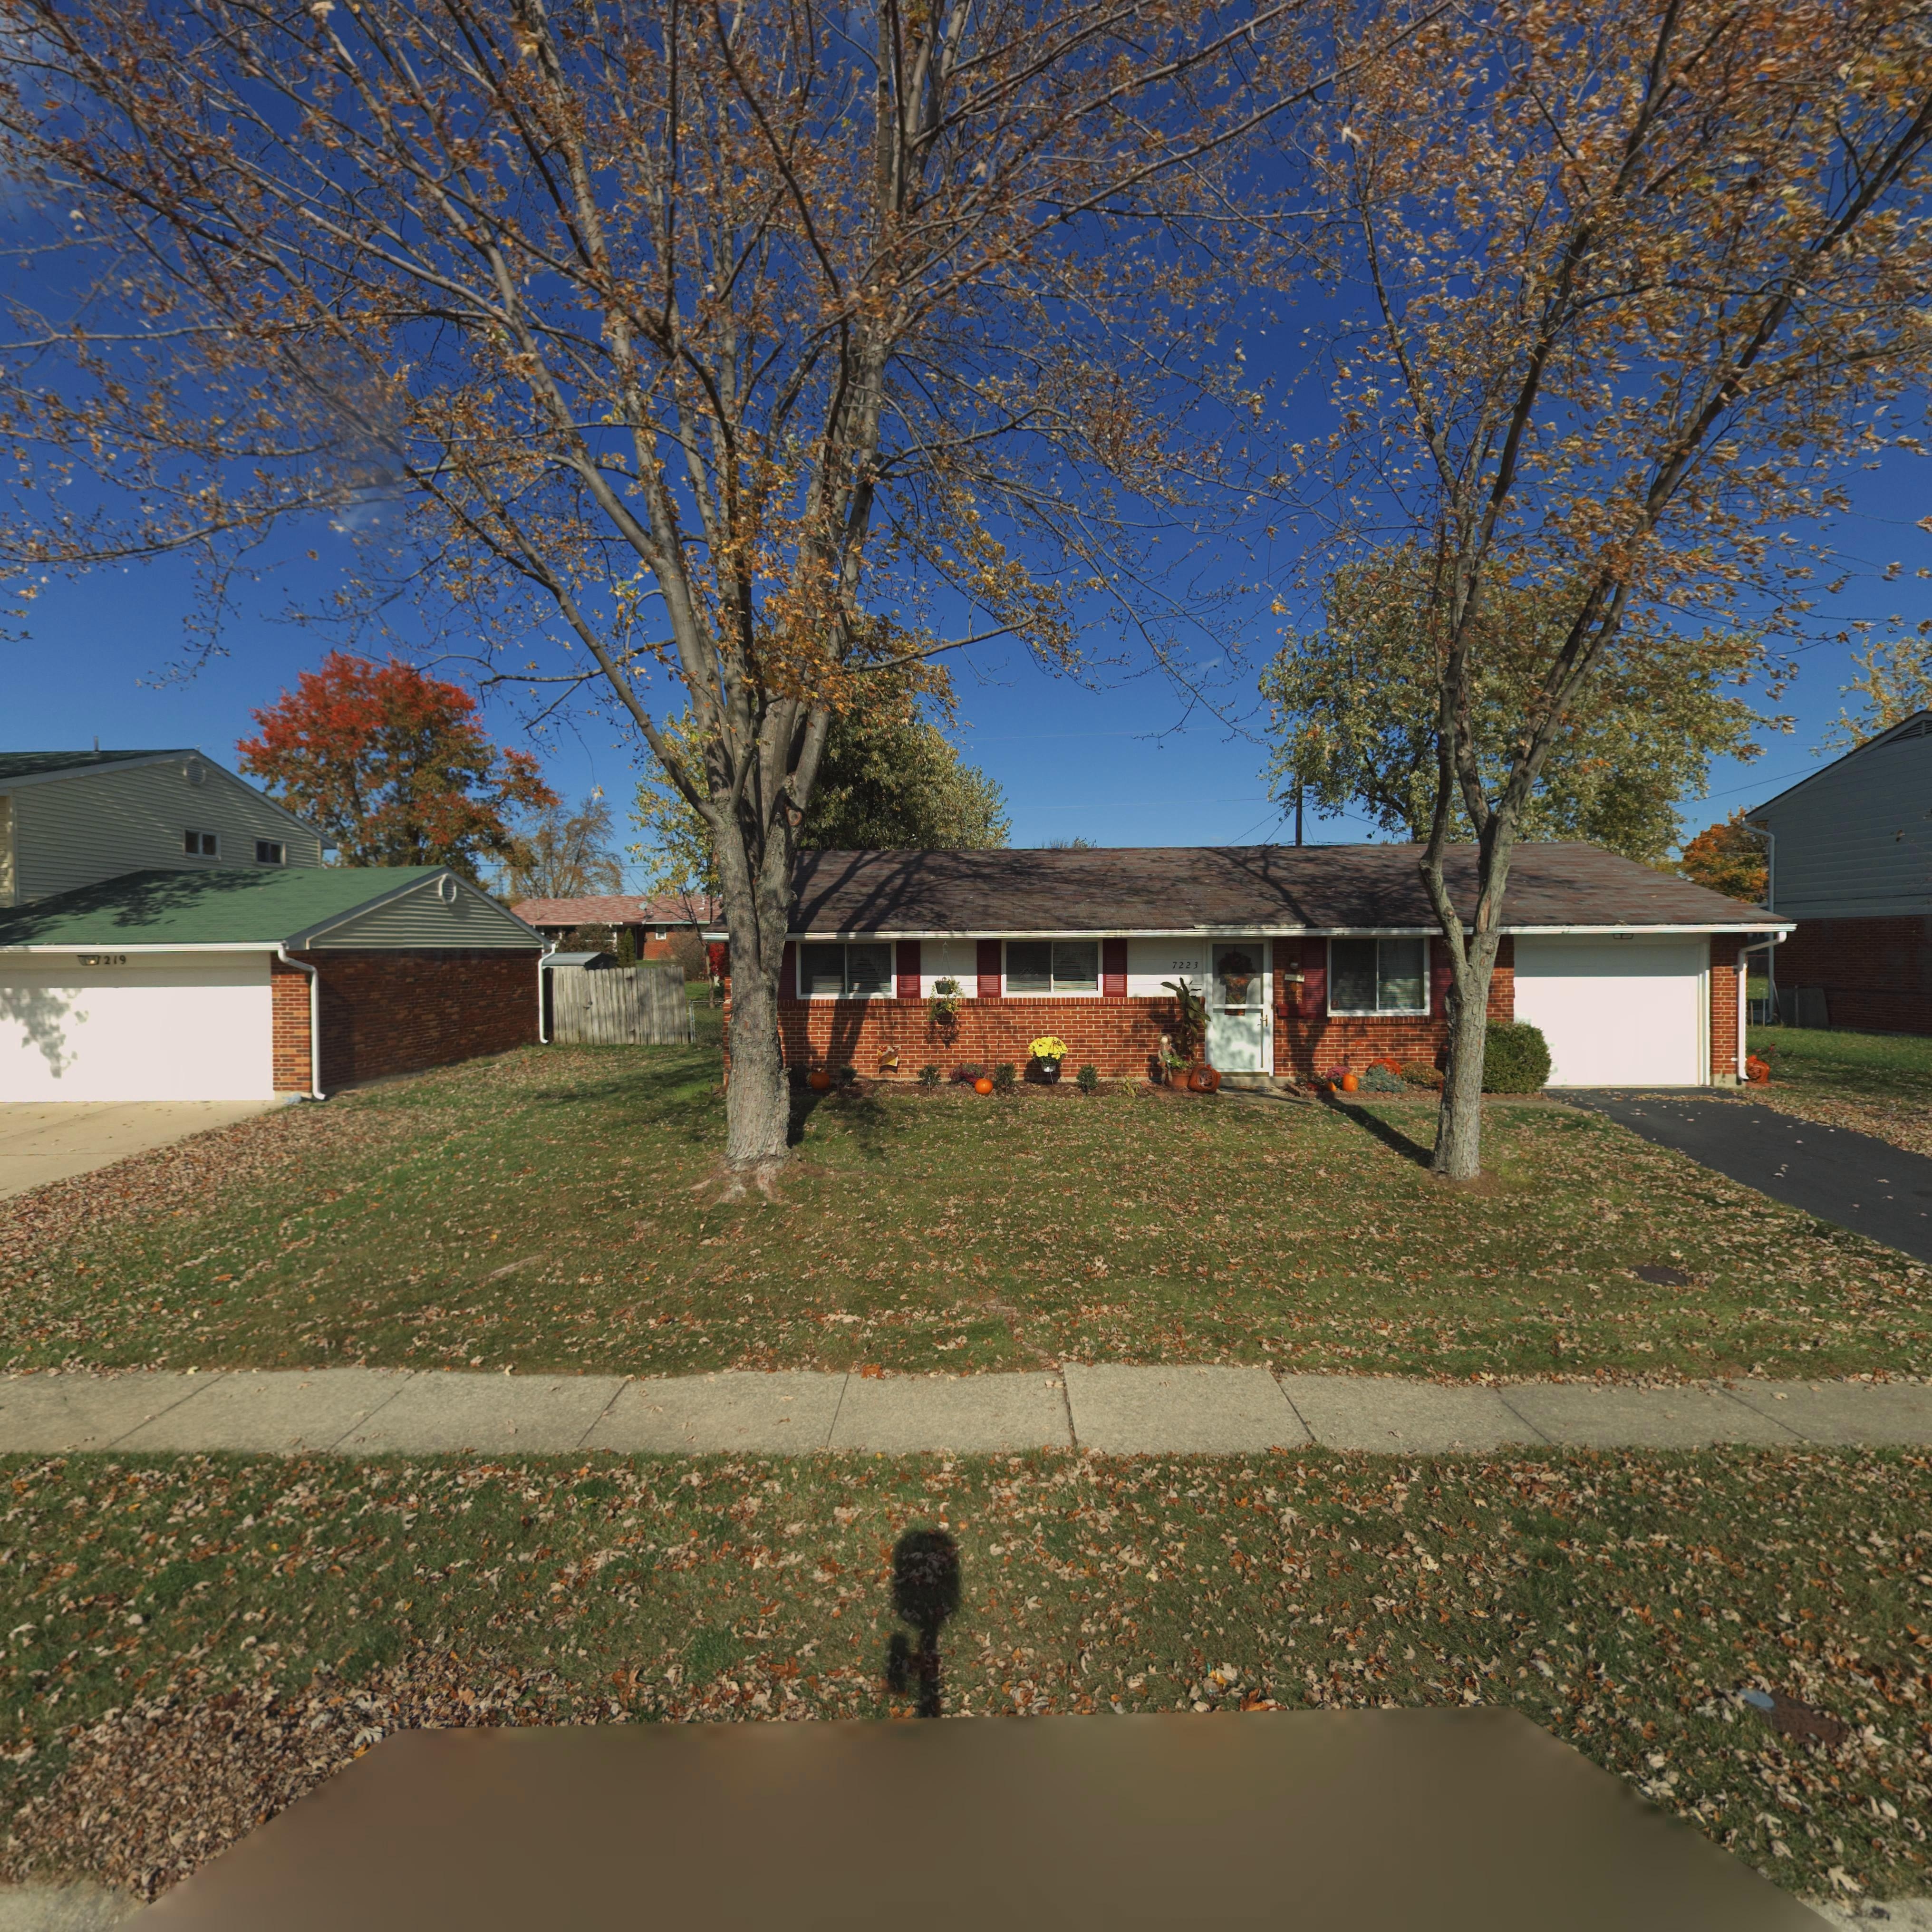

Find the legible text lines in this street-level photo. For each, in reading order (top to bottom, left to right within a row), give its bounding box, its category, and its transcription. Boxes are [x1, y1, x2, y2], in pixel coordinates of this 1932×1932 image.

[102, 953, 128, 966] StreetNumber: 219
[1171, 961, 1199, 970] StreetNumber: 7223